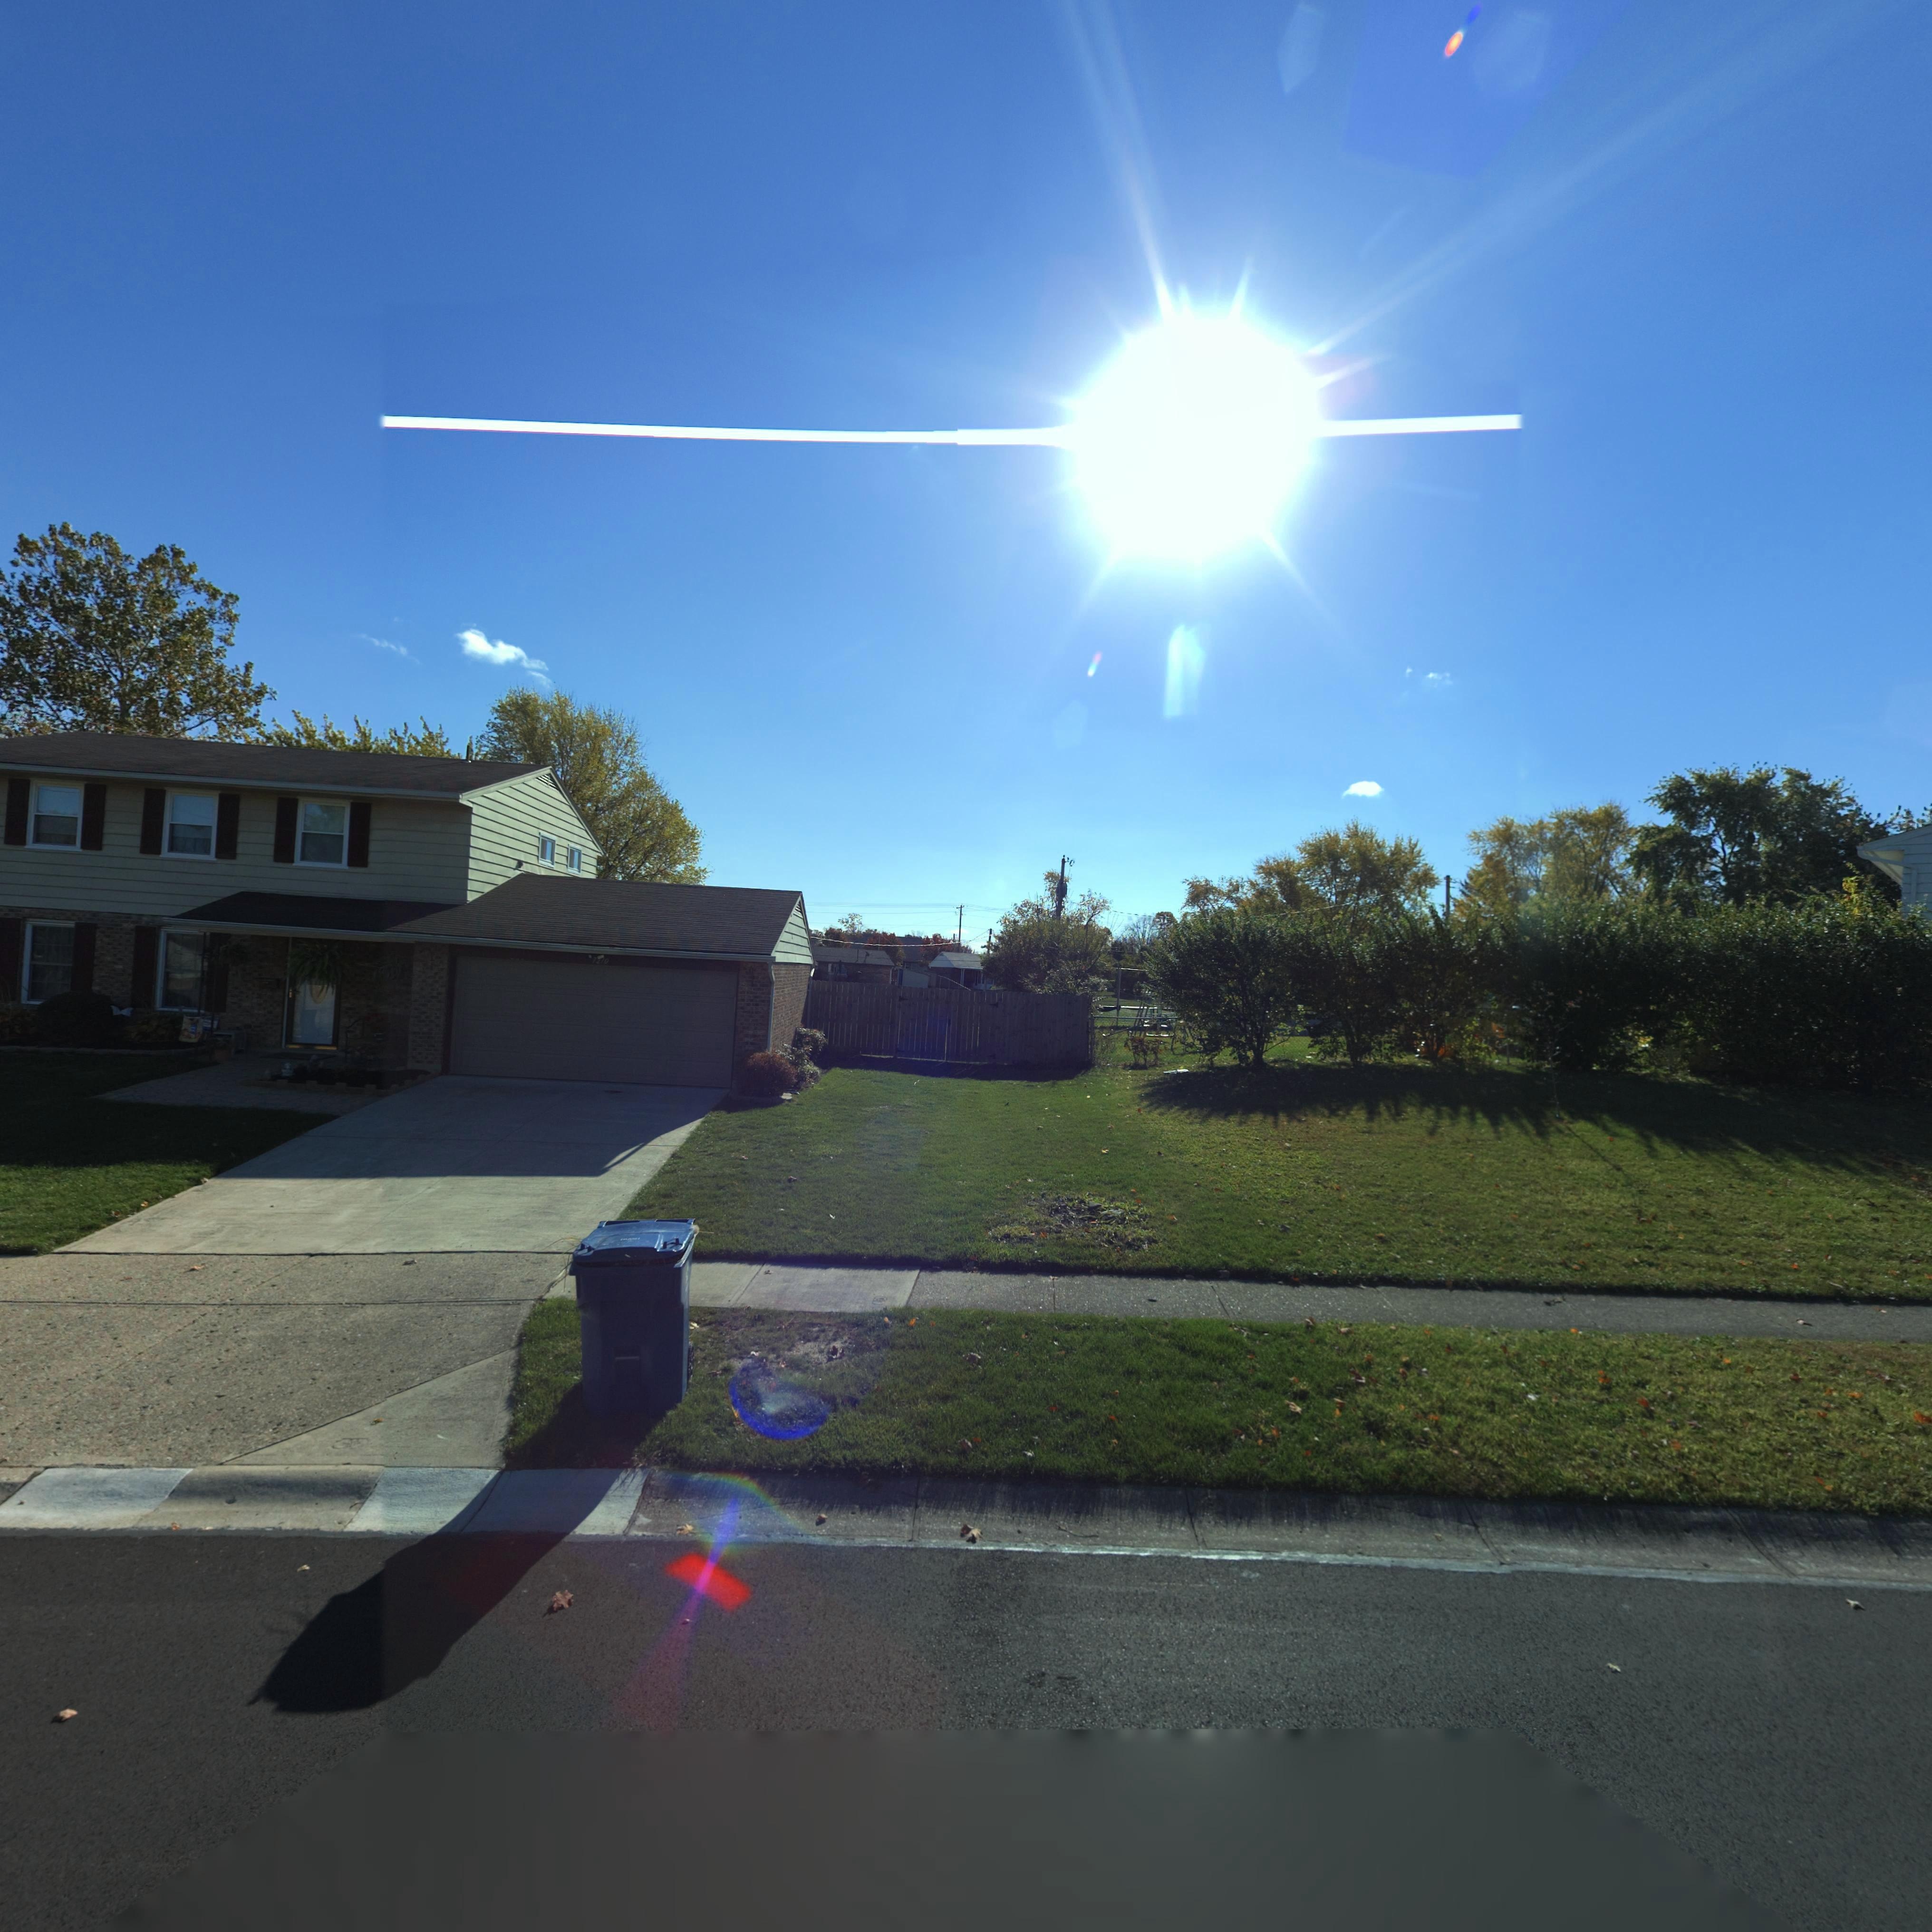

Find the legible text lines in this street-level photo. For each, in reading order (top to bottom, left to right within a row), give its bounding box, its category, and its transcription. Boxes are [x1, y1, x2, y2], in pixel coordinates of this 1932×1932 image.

[591, 956, 611, 965] StreetNumber: 7**0